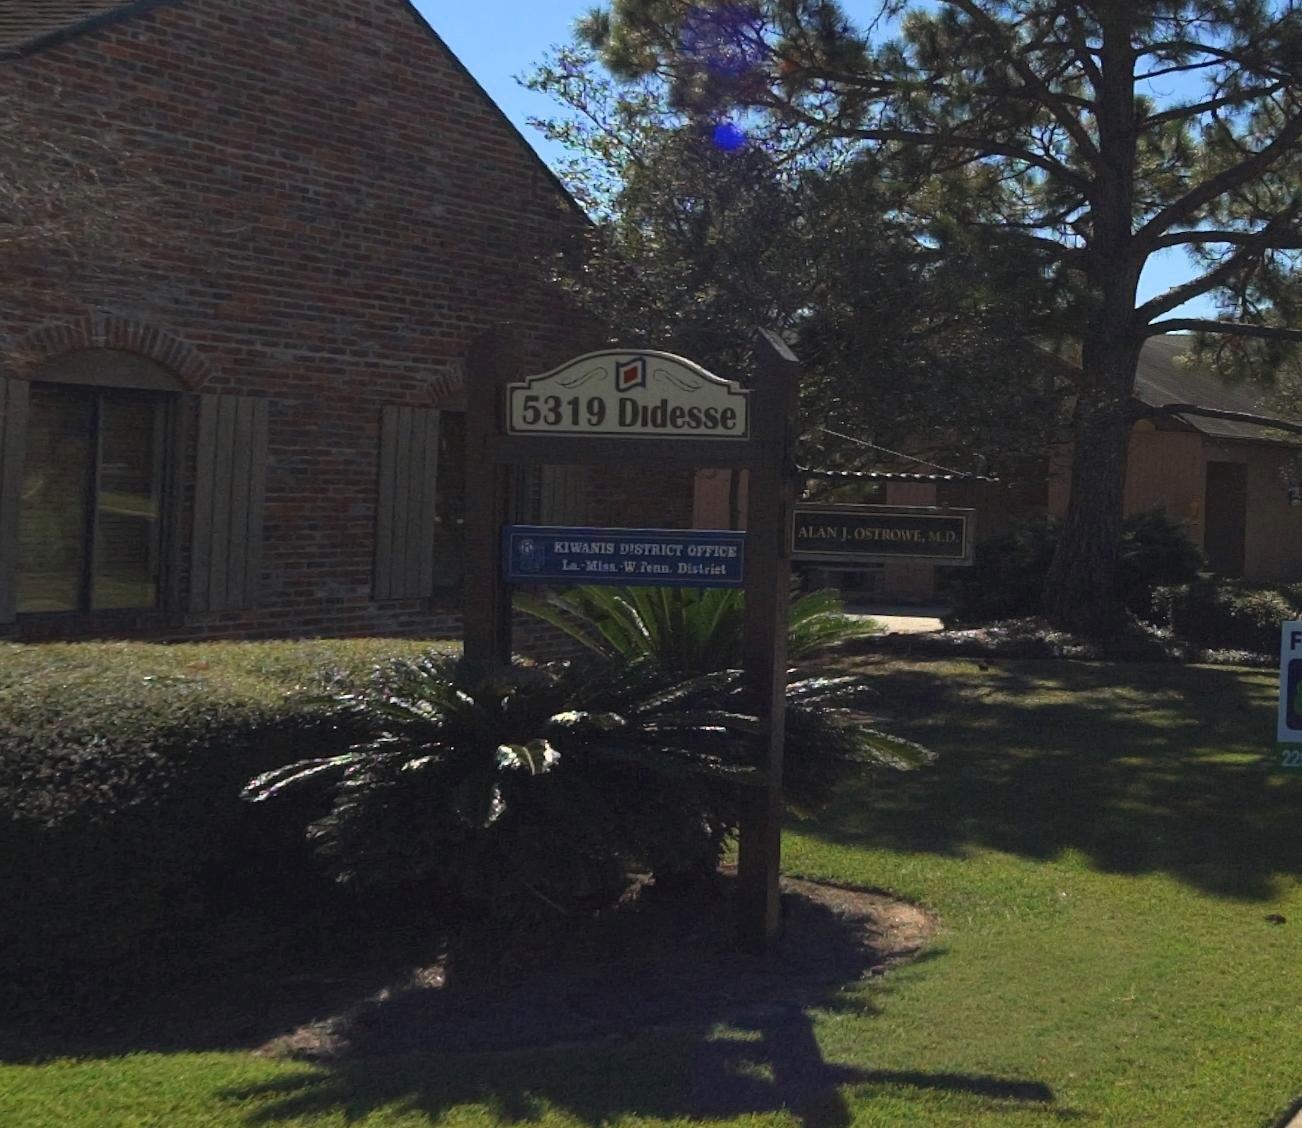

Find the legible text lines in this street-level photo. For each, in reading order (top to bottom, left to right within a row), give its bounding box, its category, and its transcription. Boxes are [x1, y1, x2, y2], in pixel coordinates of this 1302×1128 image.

[520, 393, 607, 428] StreetNumber: 5319
[614, 394, 738, 433] StreetName: Didesse
[797, 524, 960, 544] BusinessName: ALAN J. OSTROWE, M.D.
[551, 538, 739, 560] BusinessName: KIWANIS DISTRICT OFFICE
[558, 558, 729, 576] None: La-Miss-W.Tenn. District